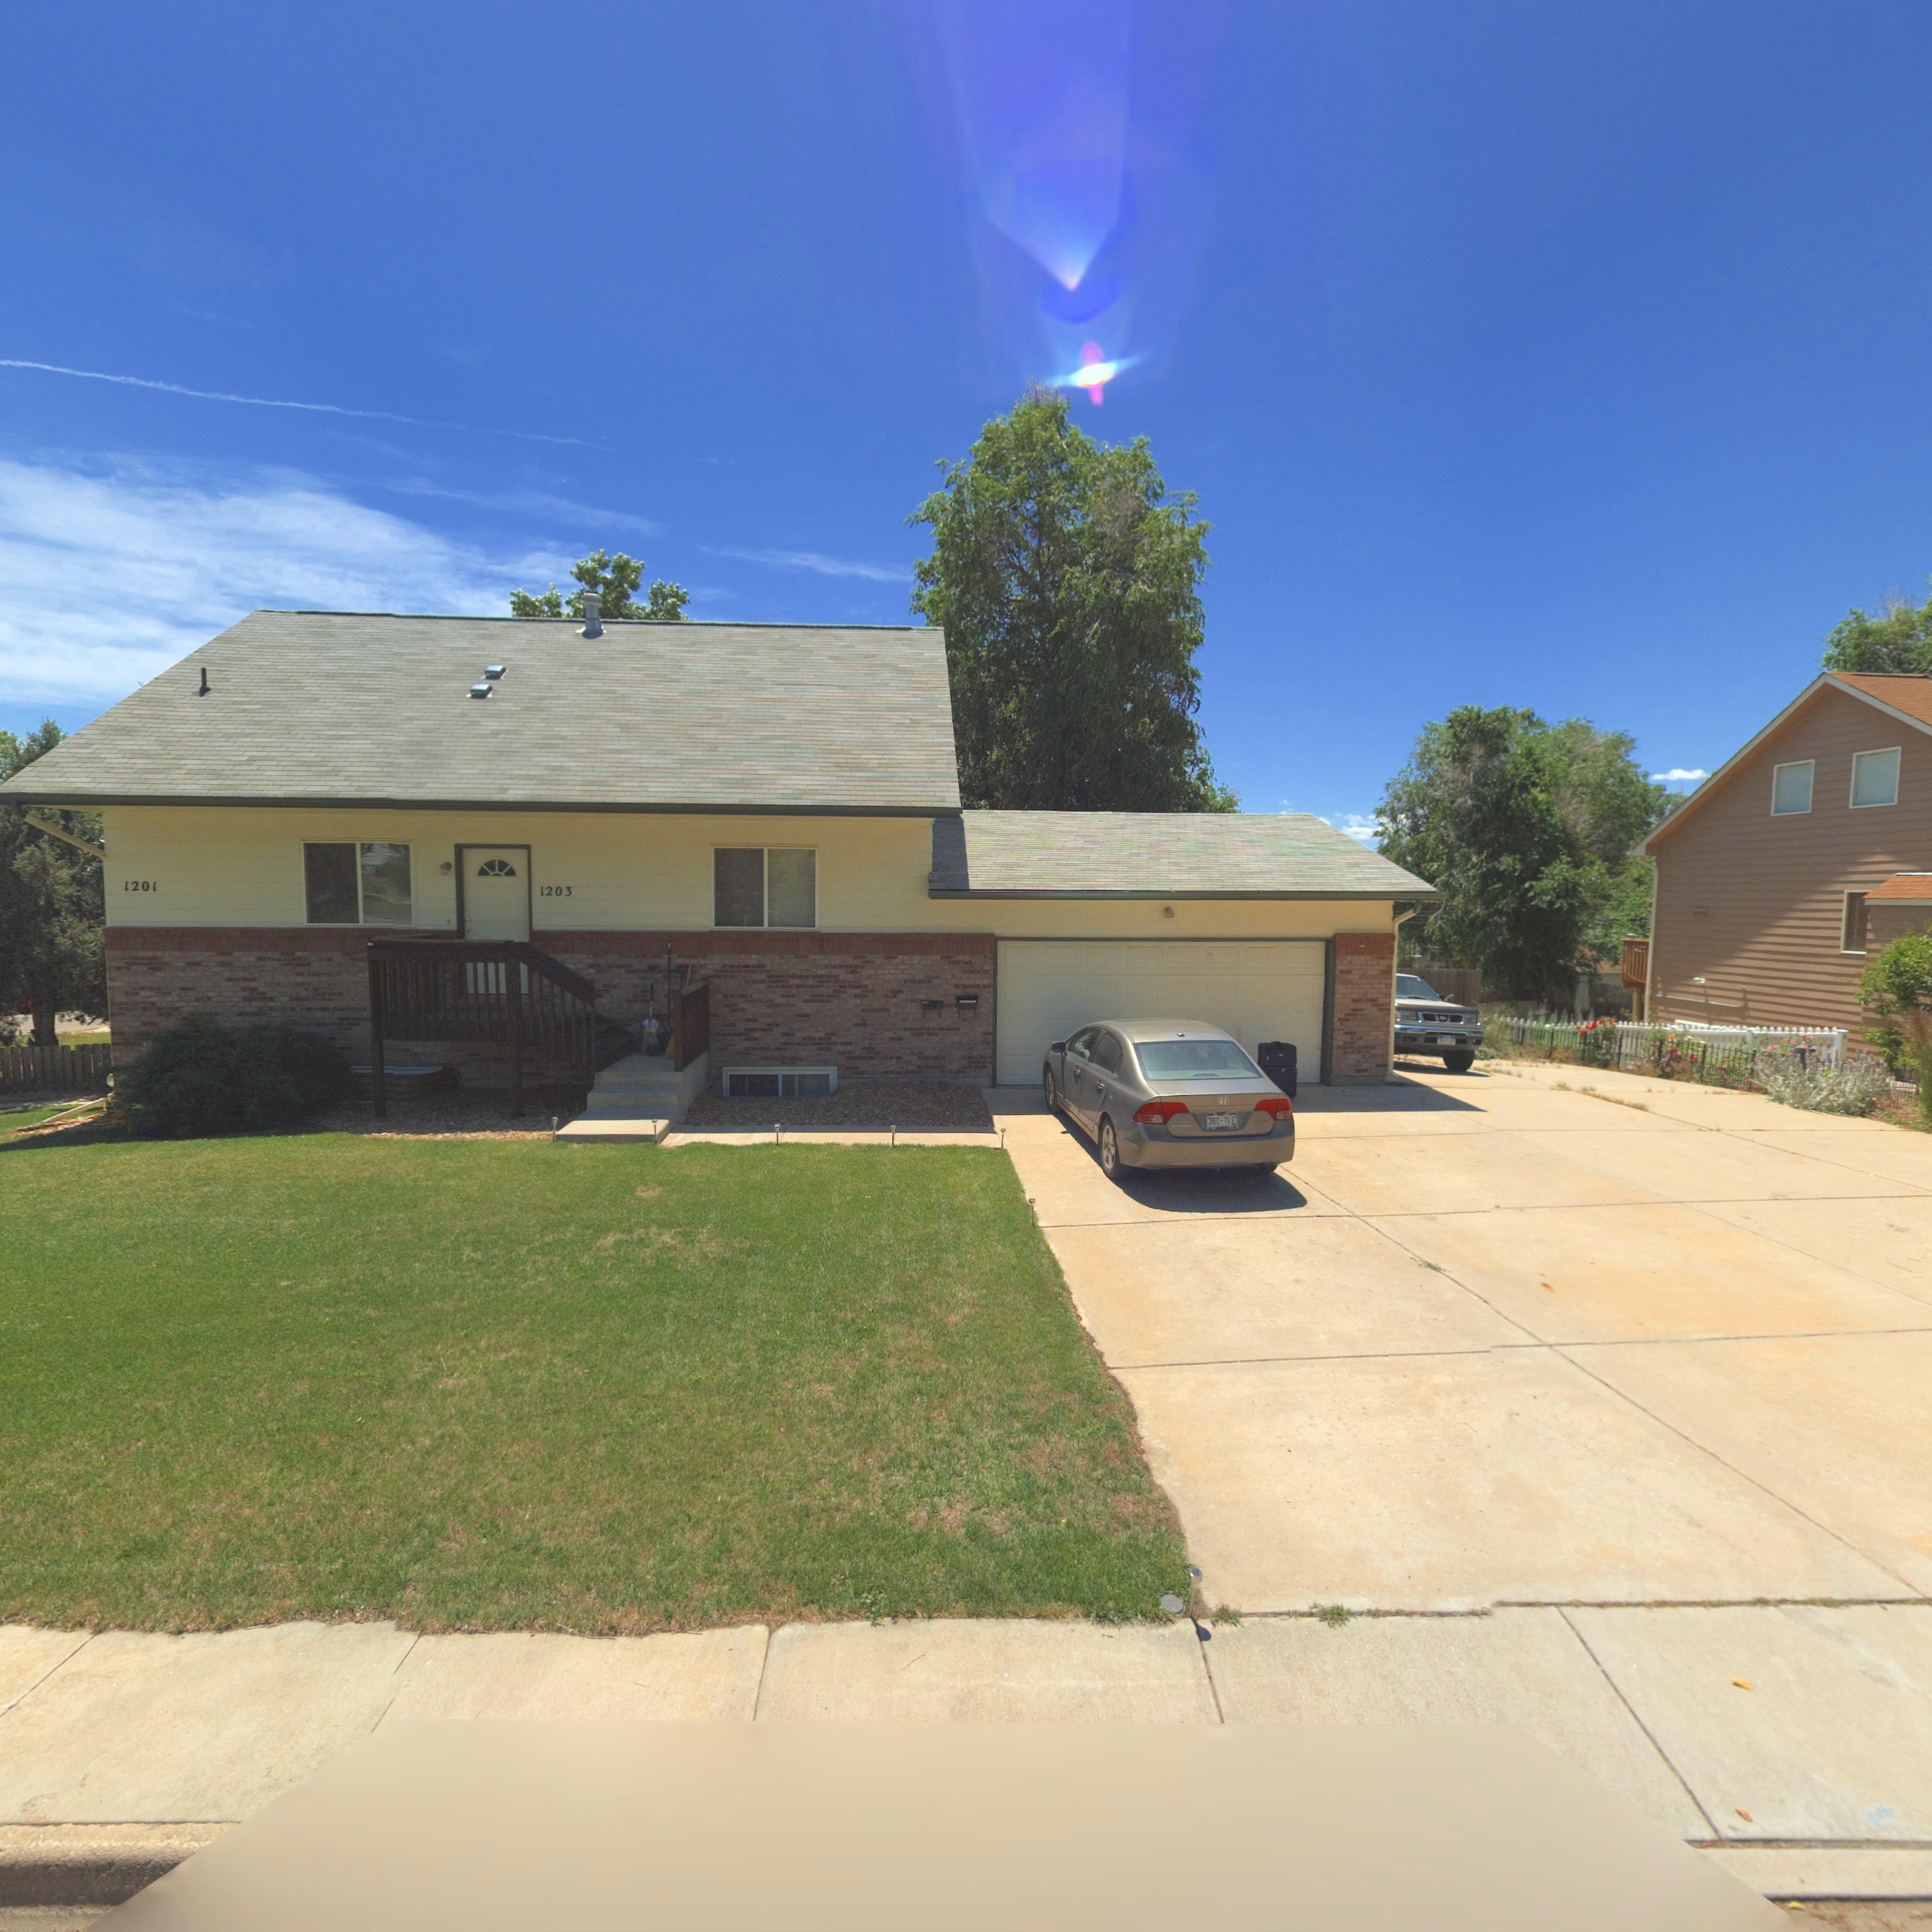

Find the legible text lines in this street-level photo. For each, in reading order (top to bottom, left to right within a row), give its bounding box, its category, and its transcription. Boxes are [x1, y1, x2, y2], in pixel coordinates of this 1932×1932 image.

[124, 880, 157, 891] StreetNumber: 1201
[540, 886, 571, 897] StreetNumber: 1203